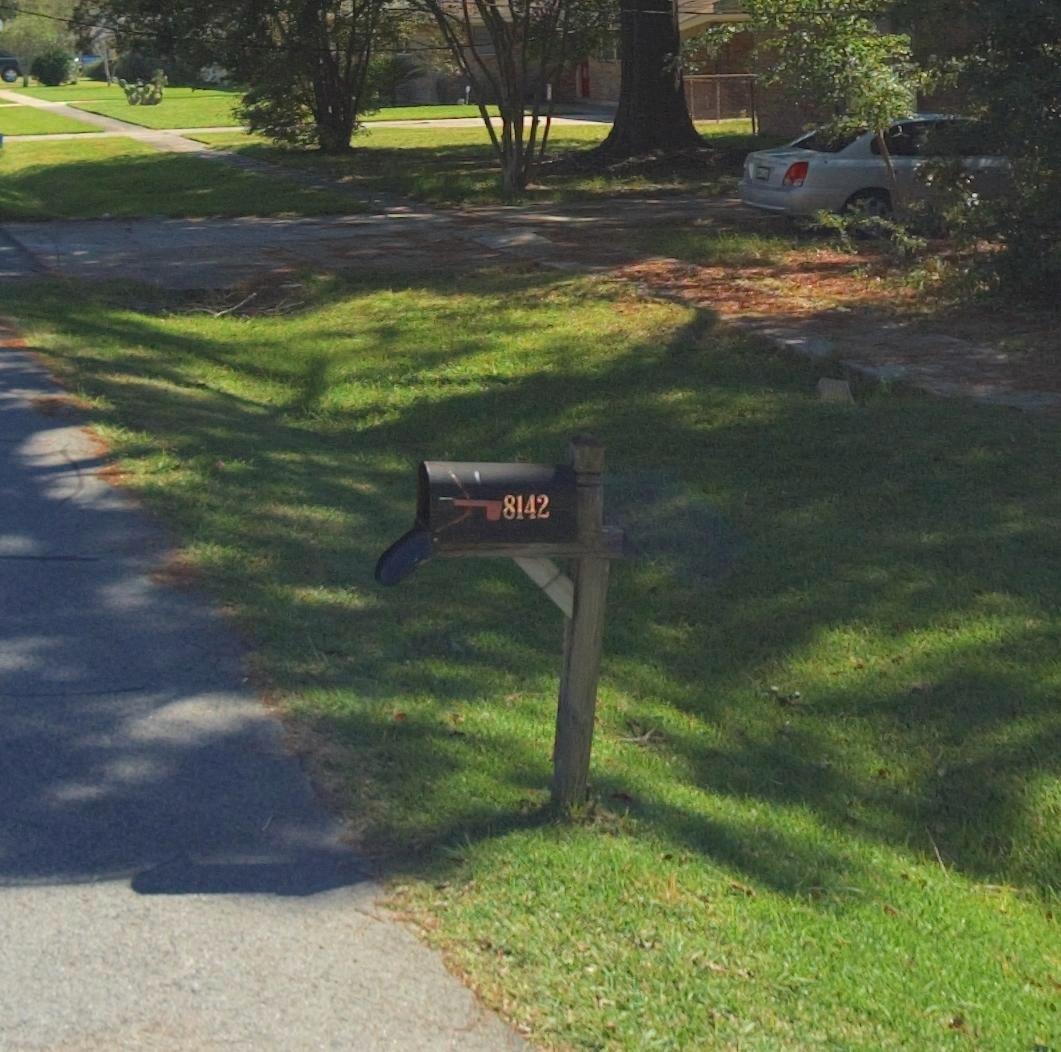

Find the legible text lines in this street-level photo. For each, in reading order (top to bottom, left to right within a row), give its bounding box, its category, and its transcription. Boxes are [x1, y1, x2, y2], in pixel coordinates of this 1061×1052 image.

[500, 492, 553, 523] StreetNumber: 8142